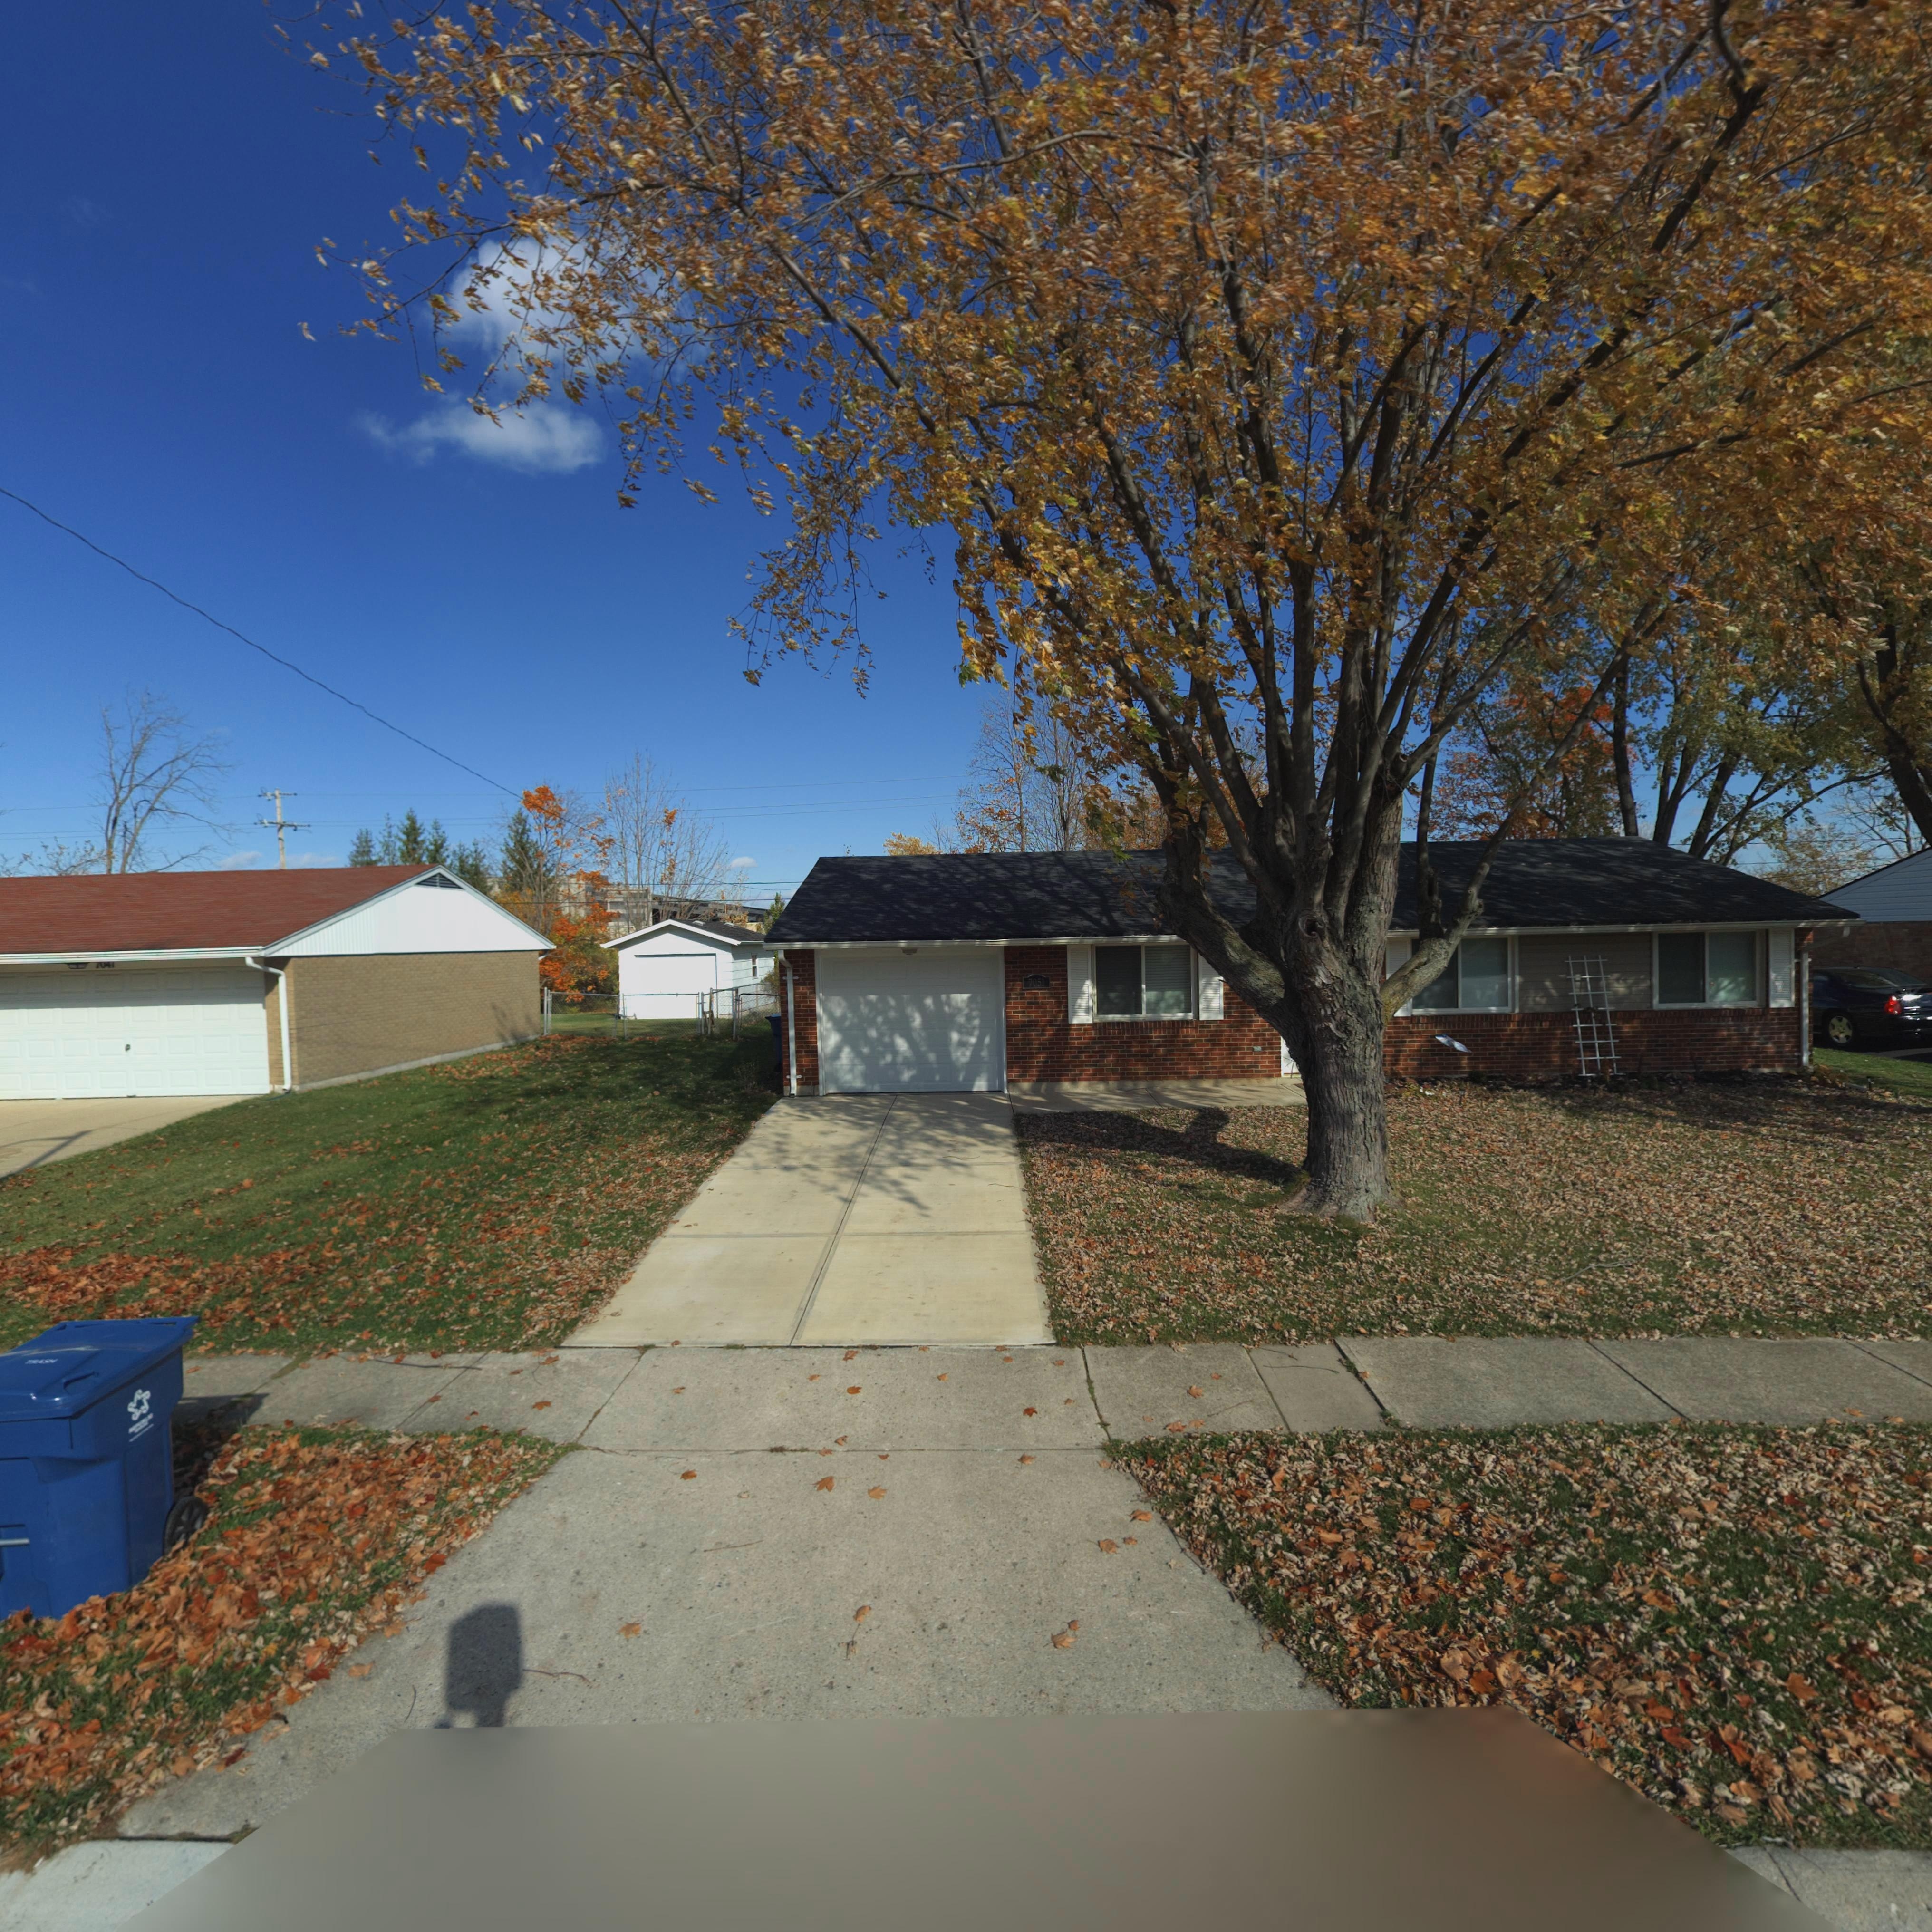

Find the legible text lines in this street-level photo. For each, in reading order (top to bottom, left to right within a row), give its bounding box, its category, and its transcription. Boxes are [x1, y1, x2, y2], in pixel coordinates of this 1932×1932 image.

[1026, 977, 1045, 988] StreetNumber: 7051